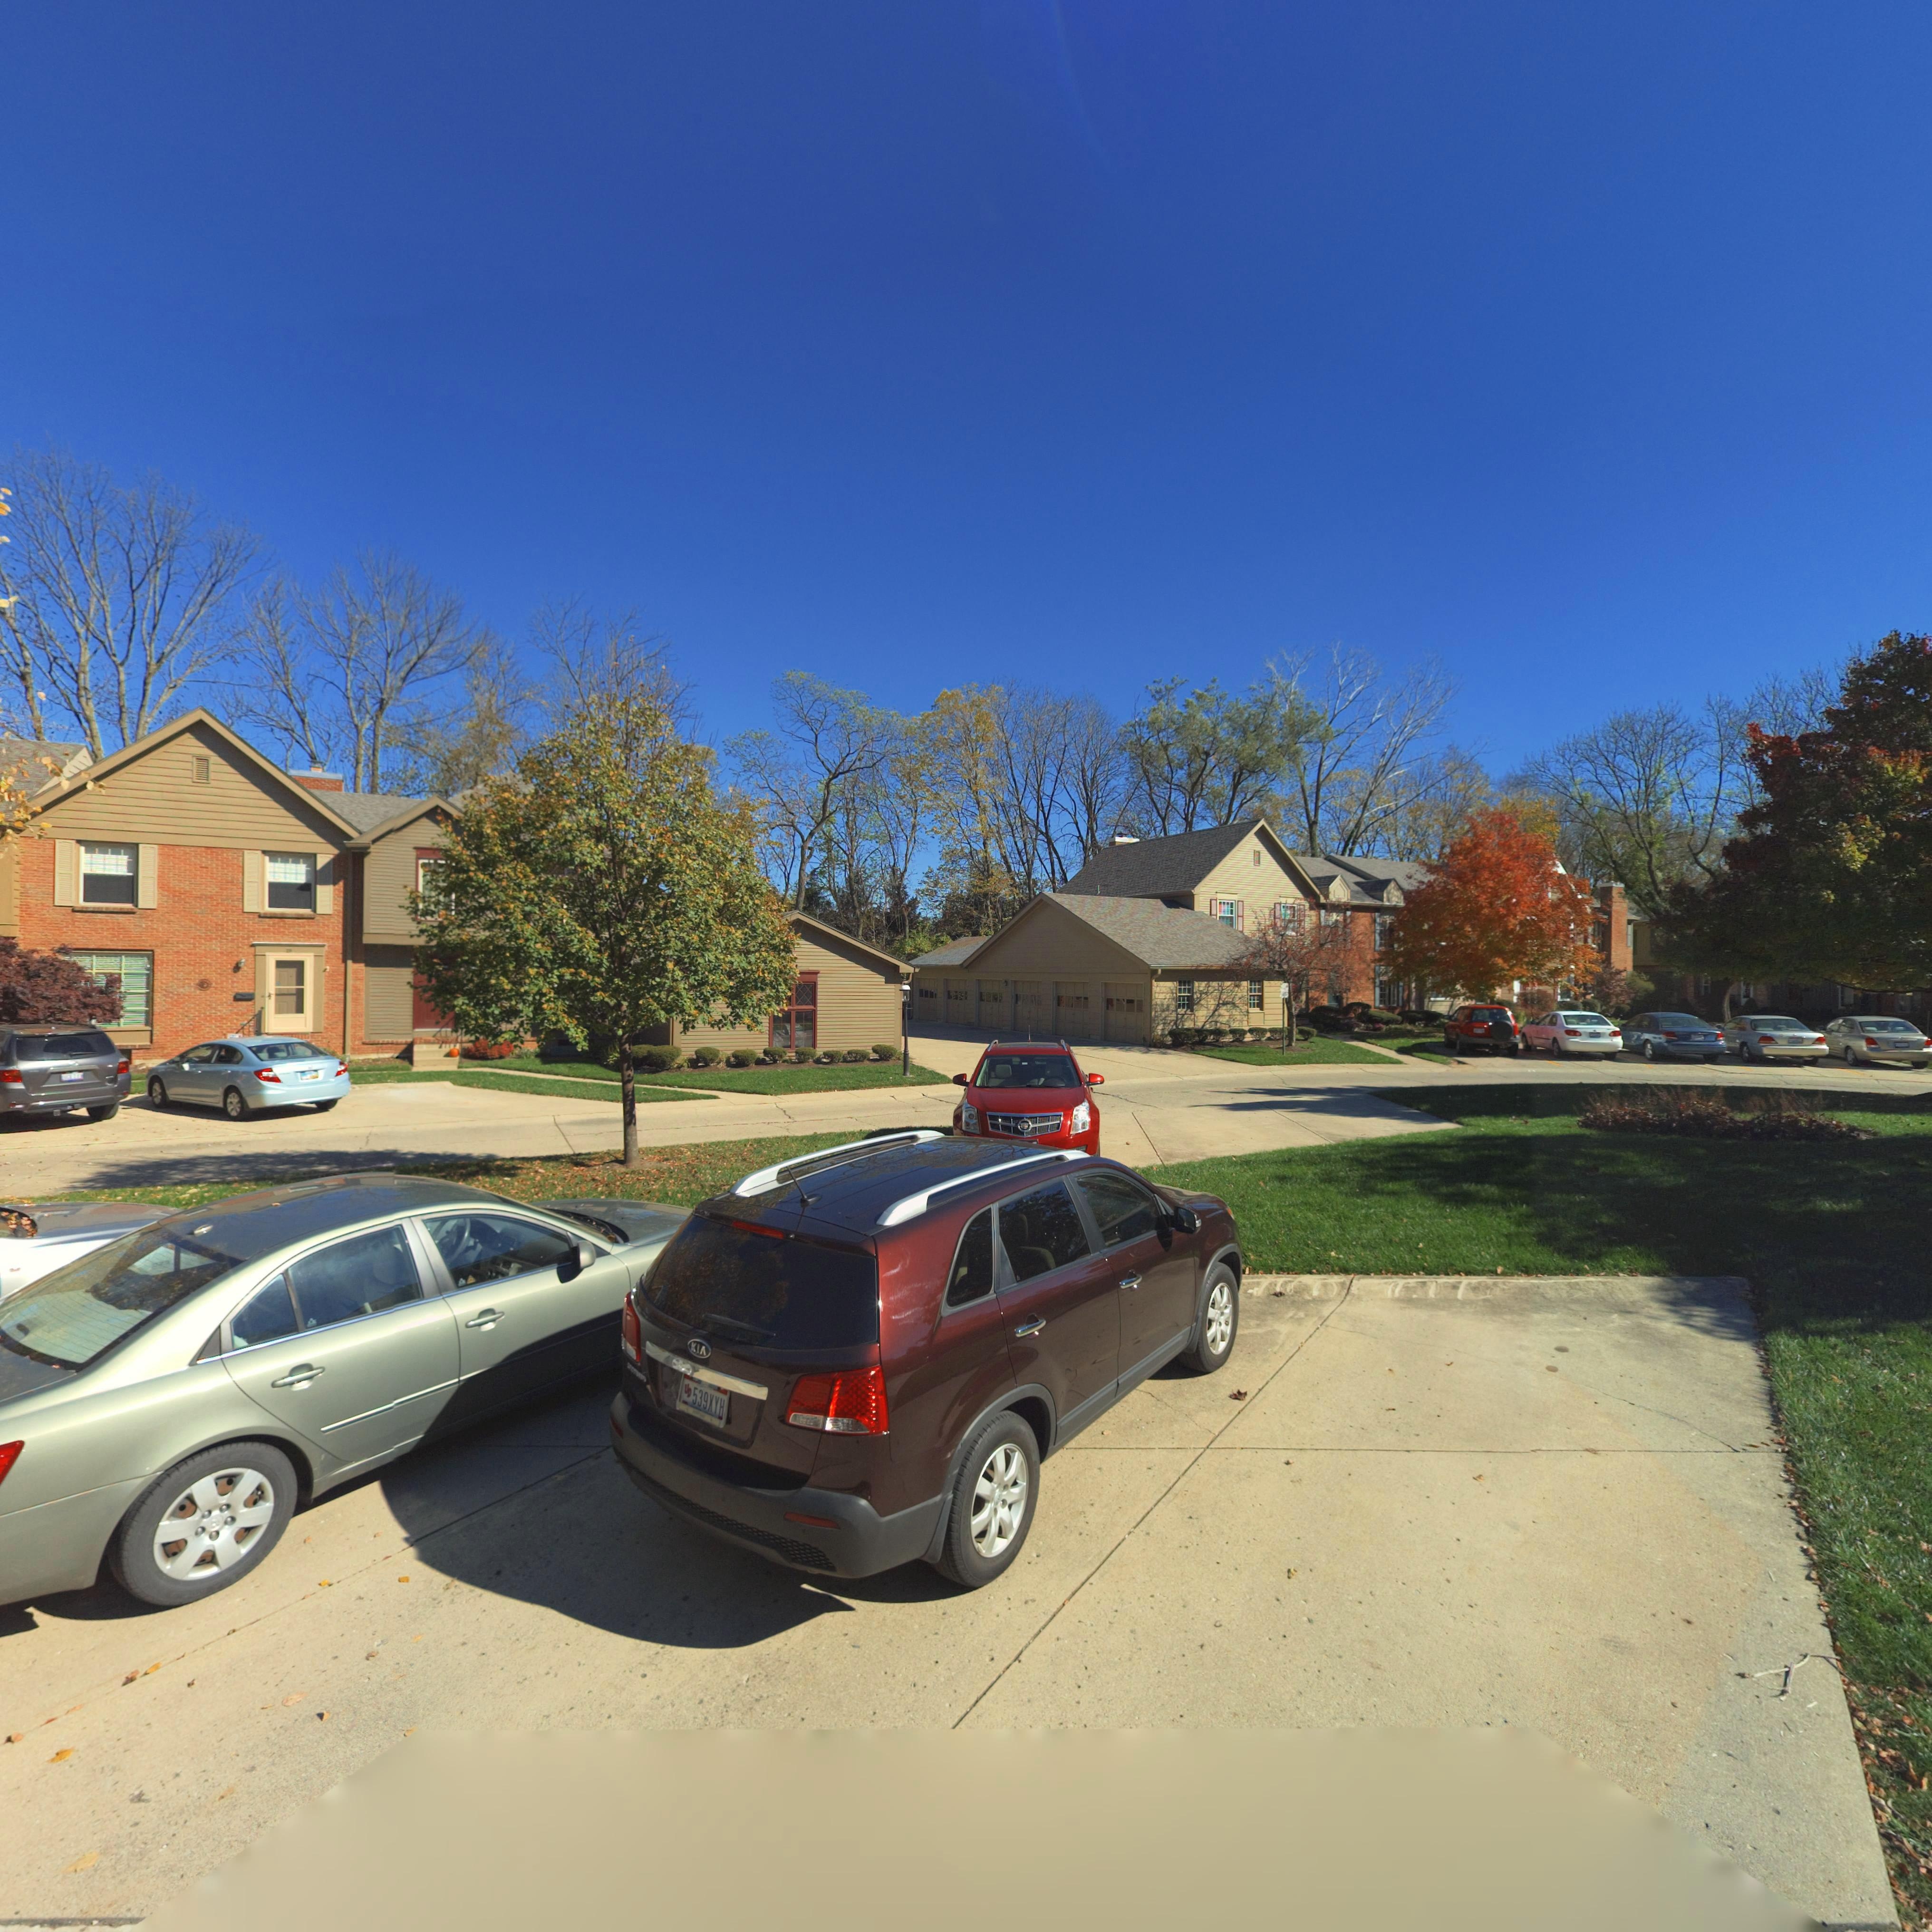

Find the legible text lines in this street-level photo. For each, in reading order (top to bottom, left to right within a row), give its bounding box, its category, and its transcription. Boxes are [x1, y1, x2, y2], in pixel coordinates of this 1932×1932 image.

[286, 948, 292, 953] StreetNumber: 29
[690, 1341, 707, 1356] None: KIA
[684, 1382, 692, 1399] None: UD
[691, 1386, 726, 1418] None: 539XYH